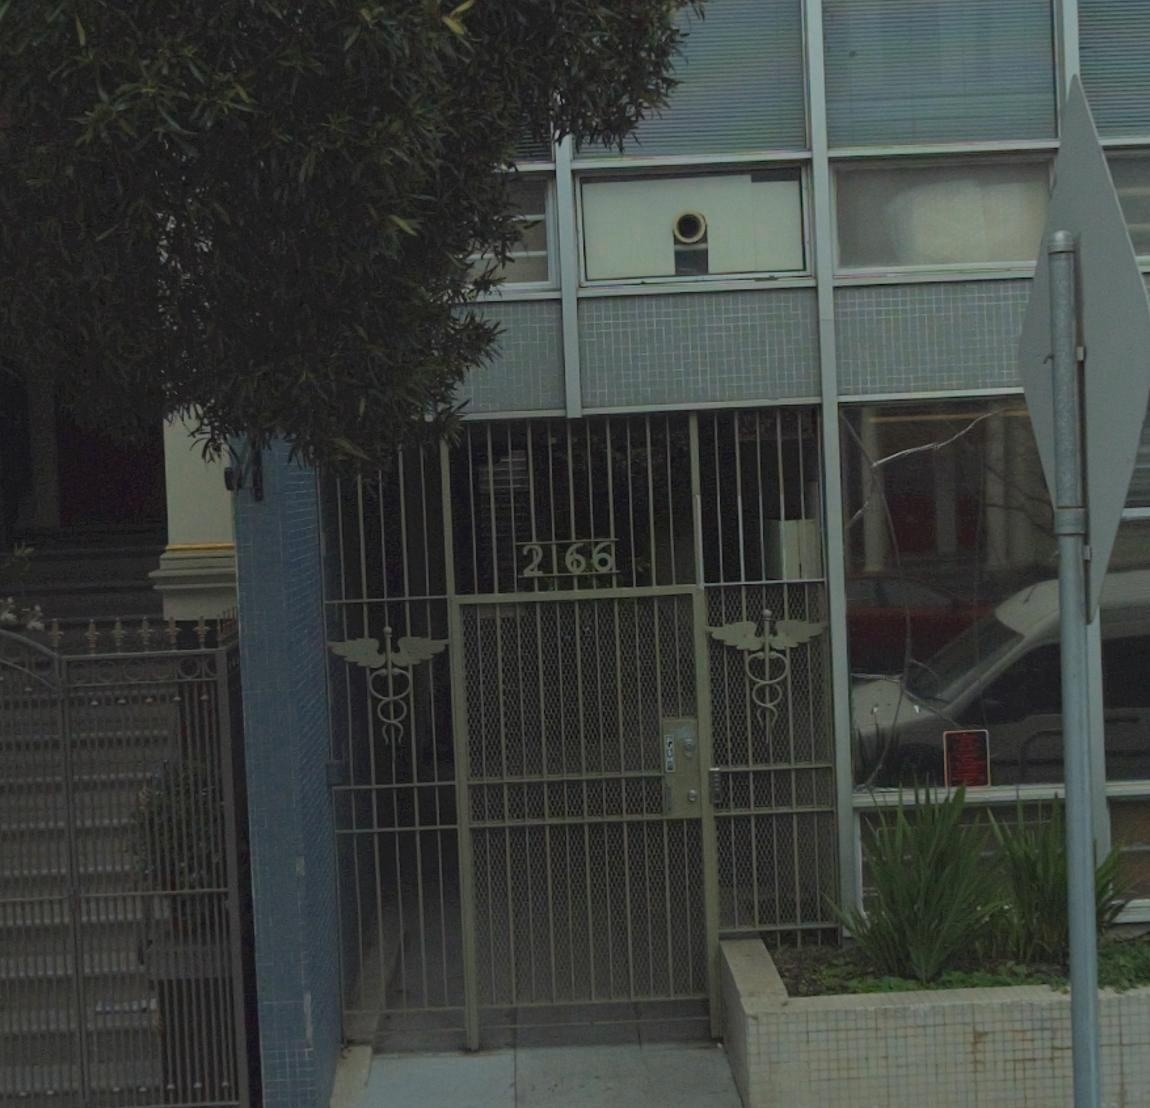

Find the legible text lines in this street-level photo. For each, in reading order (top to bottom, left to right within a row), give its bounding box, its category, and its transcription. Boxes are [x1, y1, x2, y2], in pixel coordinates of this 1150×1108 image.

[519, 539, 614, 578] StreetNumber: 2166